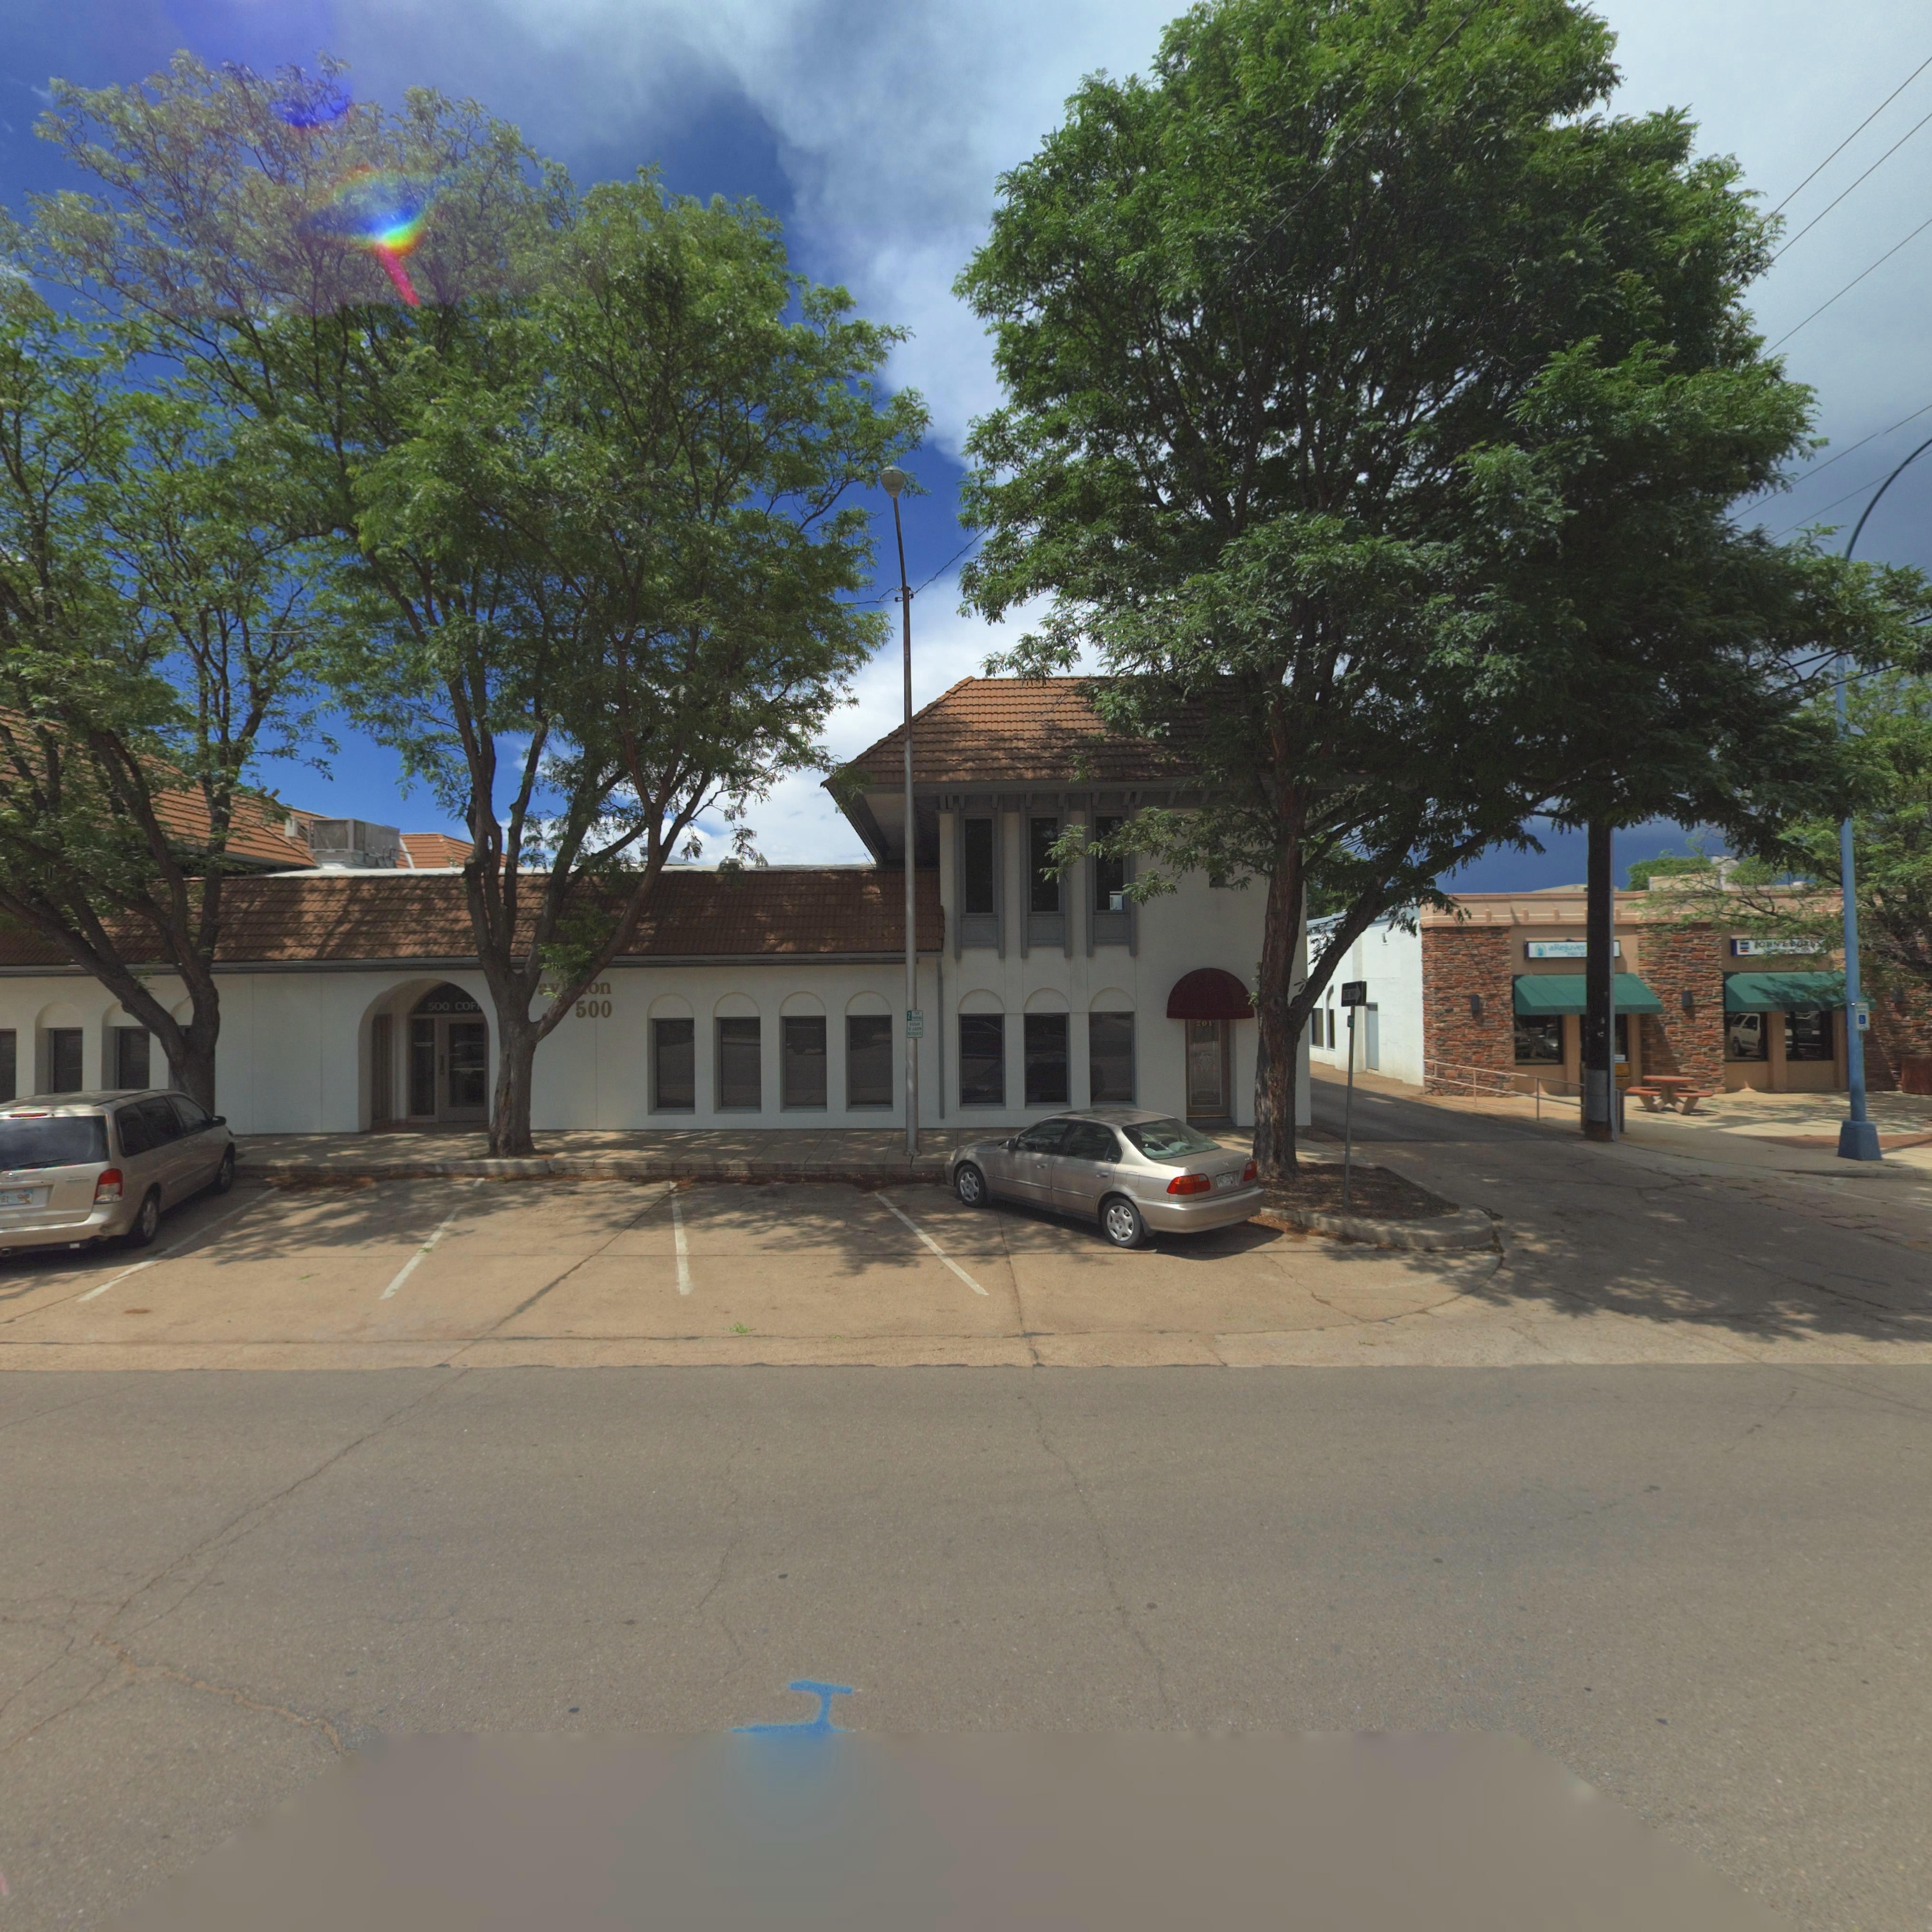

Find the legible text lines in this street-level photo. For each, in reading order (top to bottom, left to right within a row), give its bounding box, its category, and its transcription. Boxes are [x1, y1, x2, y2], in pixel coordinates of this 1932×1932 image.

[1548, 943, 1586, 952] BusinessName: aRejuve*
[428, 1002, 450, 1011] StreetNumber: 500
[575, 1000, 612, 1018] StreetNumber: 500
[1195, 1019, 1212, 1027] StreetNumber: 201